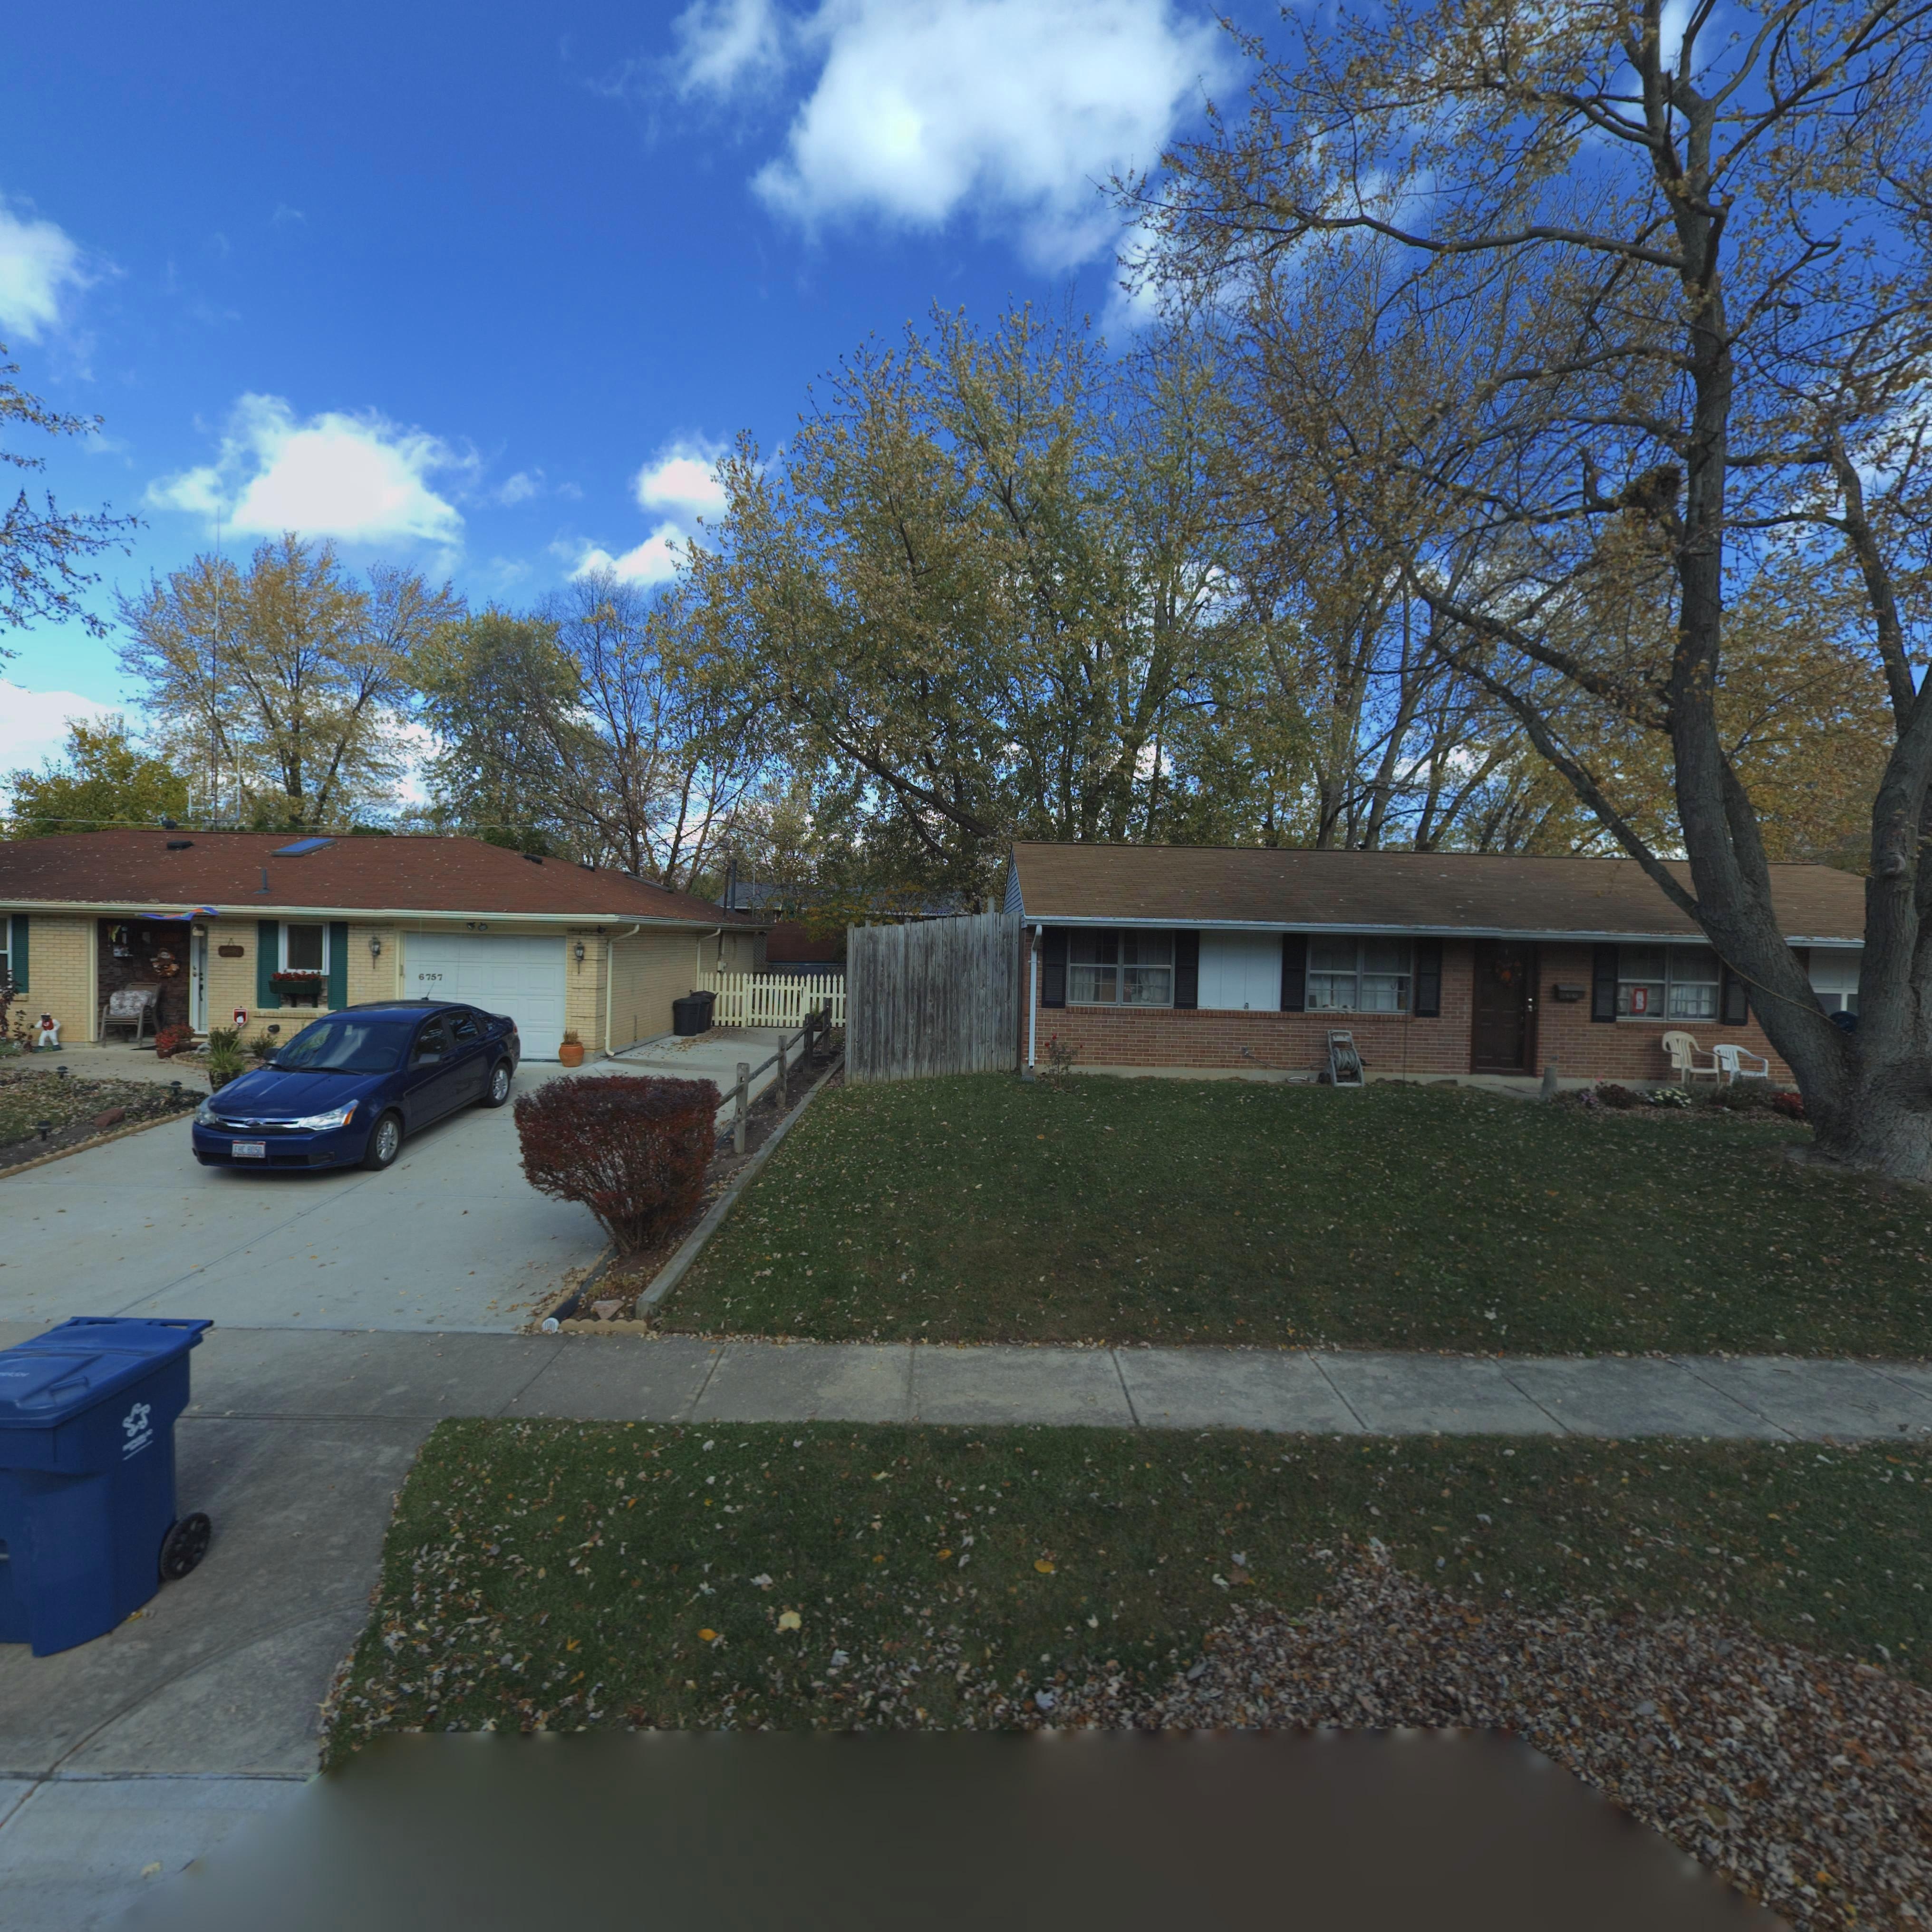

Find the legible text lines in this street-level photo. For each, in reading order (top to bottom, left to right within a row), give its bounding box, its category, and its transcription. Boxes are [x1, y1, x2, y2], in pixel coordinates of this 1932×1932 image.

[418, 973, 443, 981] StreetNumber: 6757